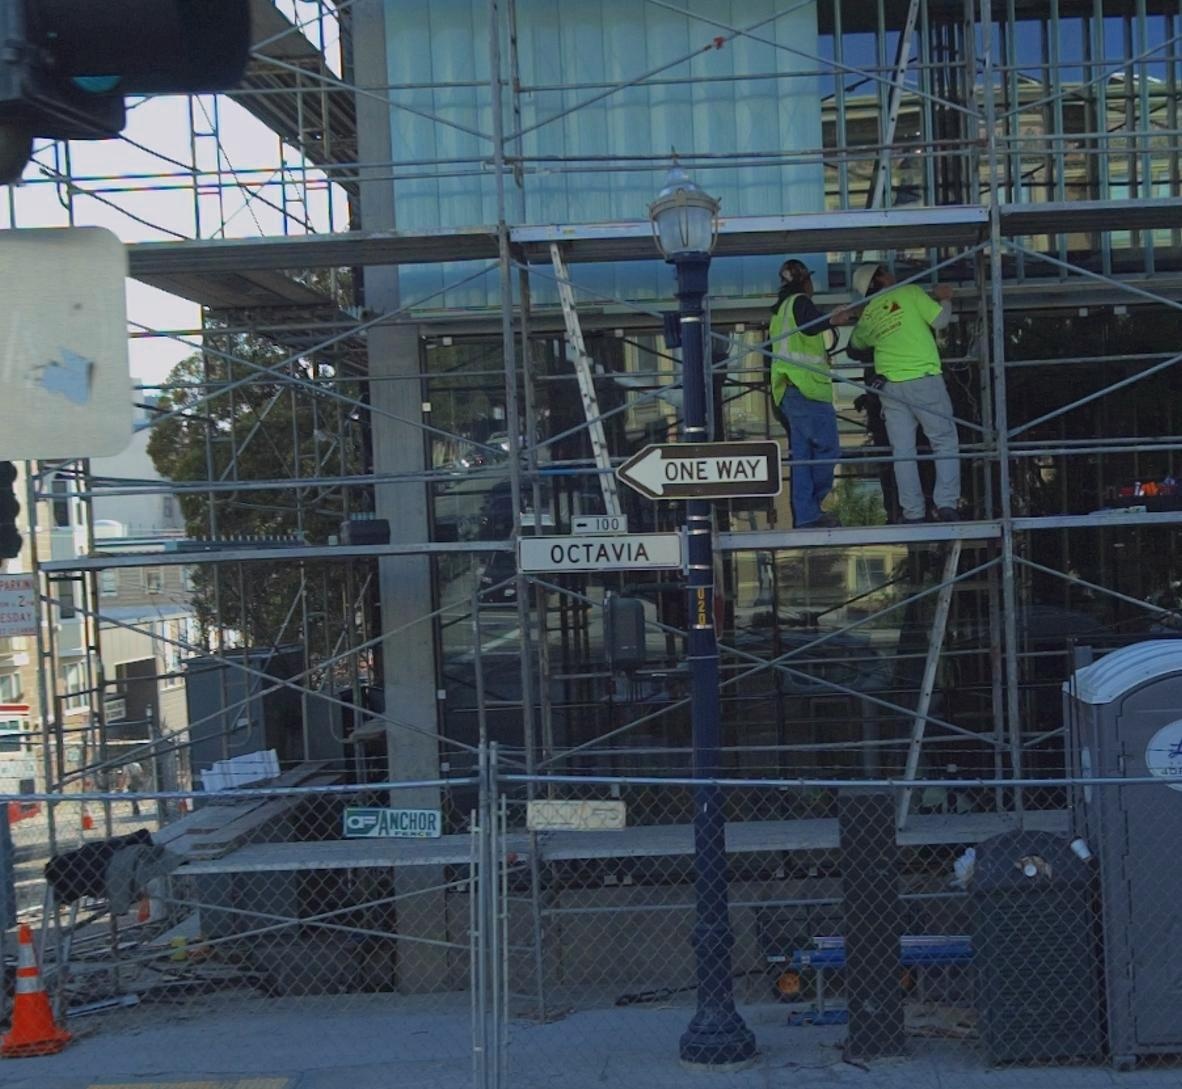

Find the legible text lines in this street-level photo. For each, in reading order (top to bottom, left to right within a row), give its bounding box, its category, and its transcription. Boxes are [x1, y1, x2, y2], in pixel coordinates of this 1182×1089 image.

[664, 459, 761, 482] None: ONE WAY
[573, 517, 620, 531] StreetNumberRange: <-100
[548, 540, 649, 565] StreetName: OCTAVIA
[13, 592, 32, 608] None: 2
[695, 585, 706, 625] None: 020
[378, 808, 436, 836] None: ANCHOR